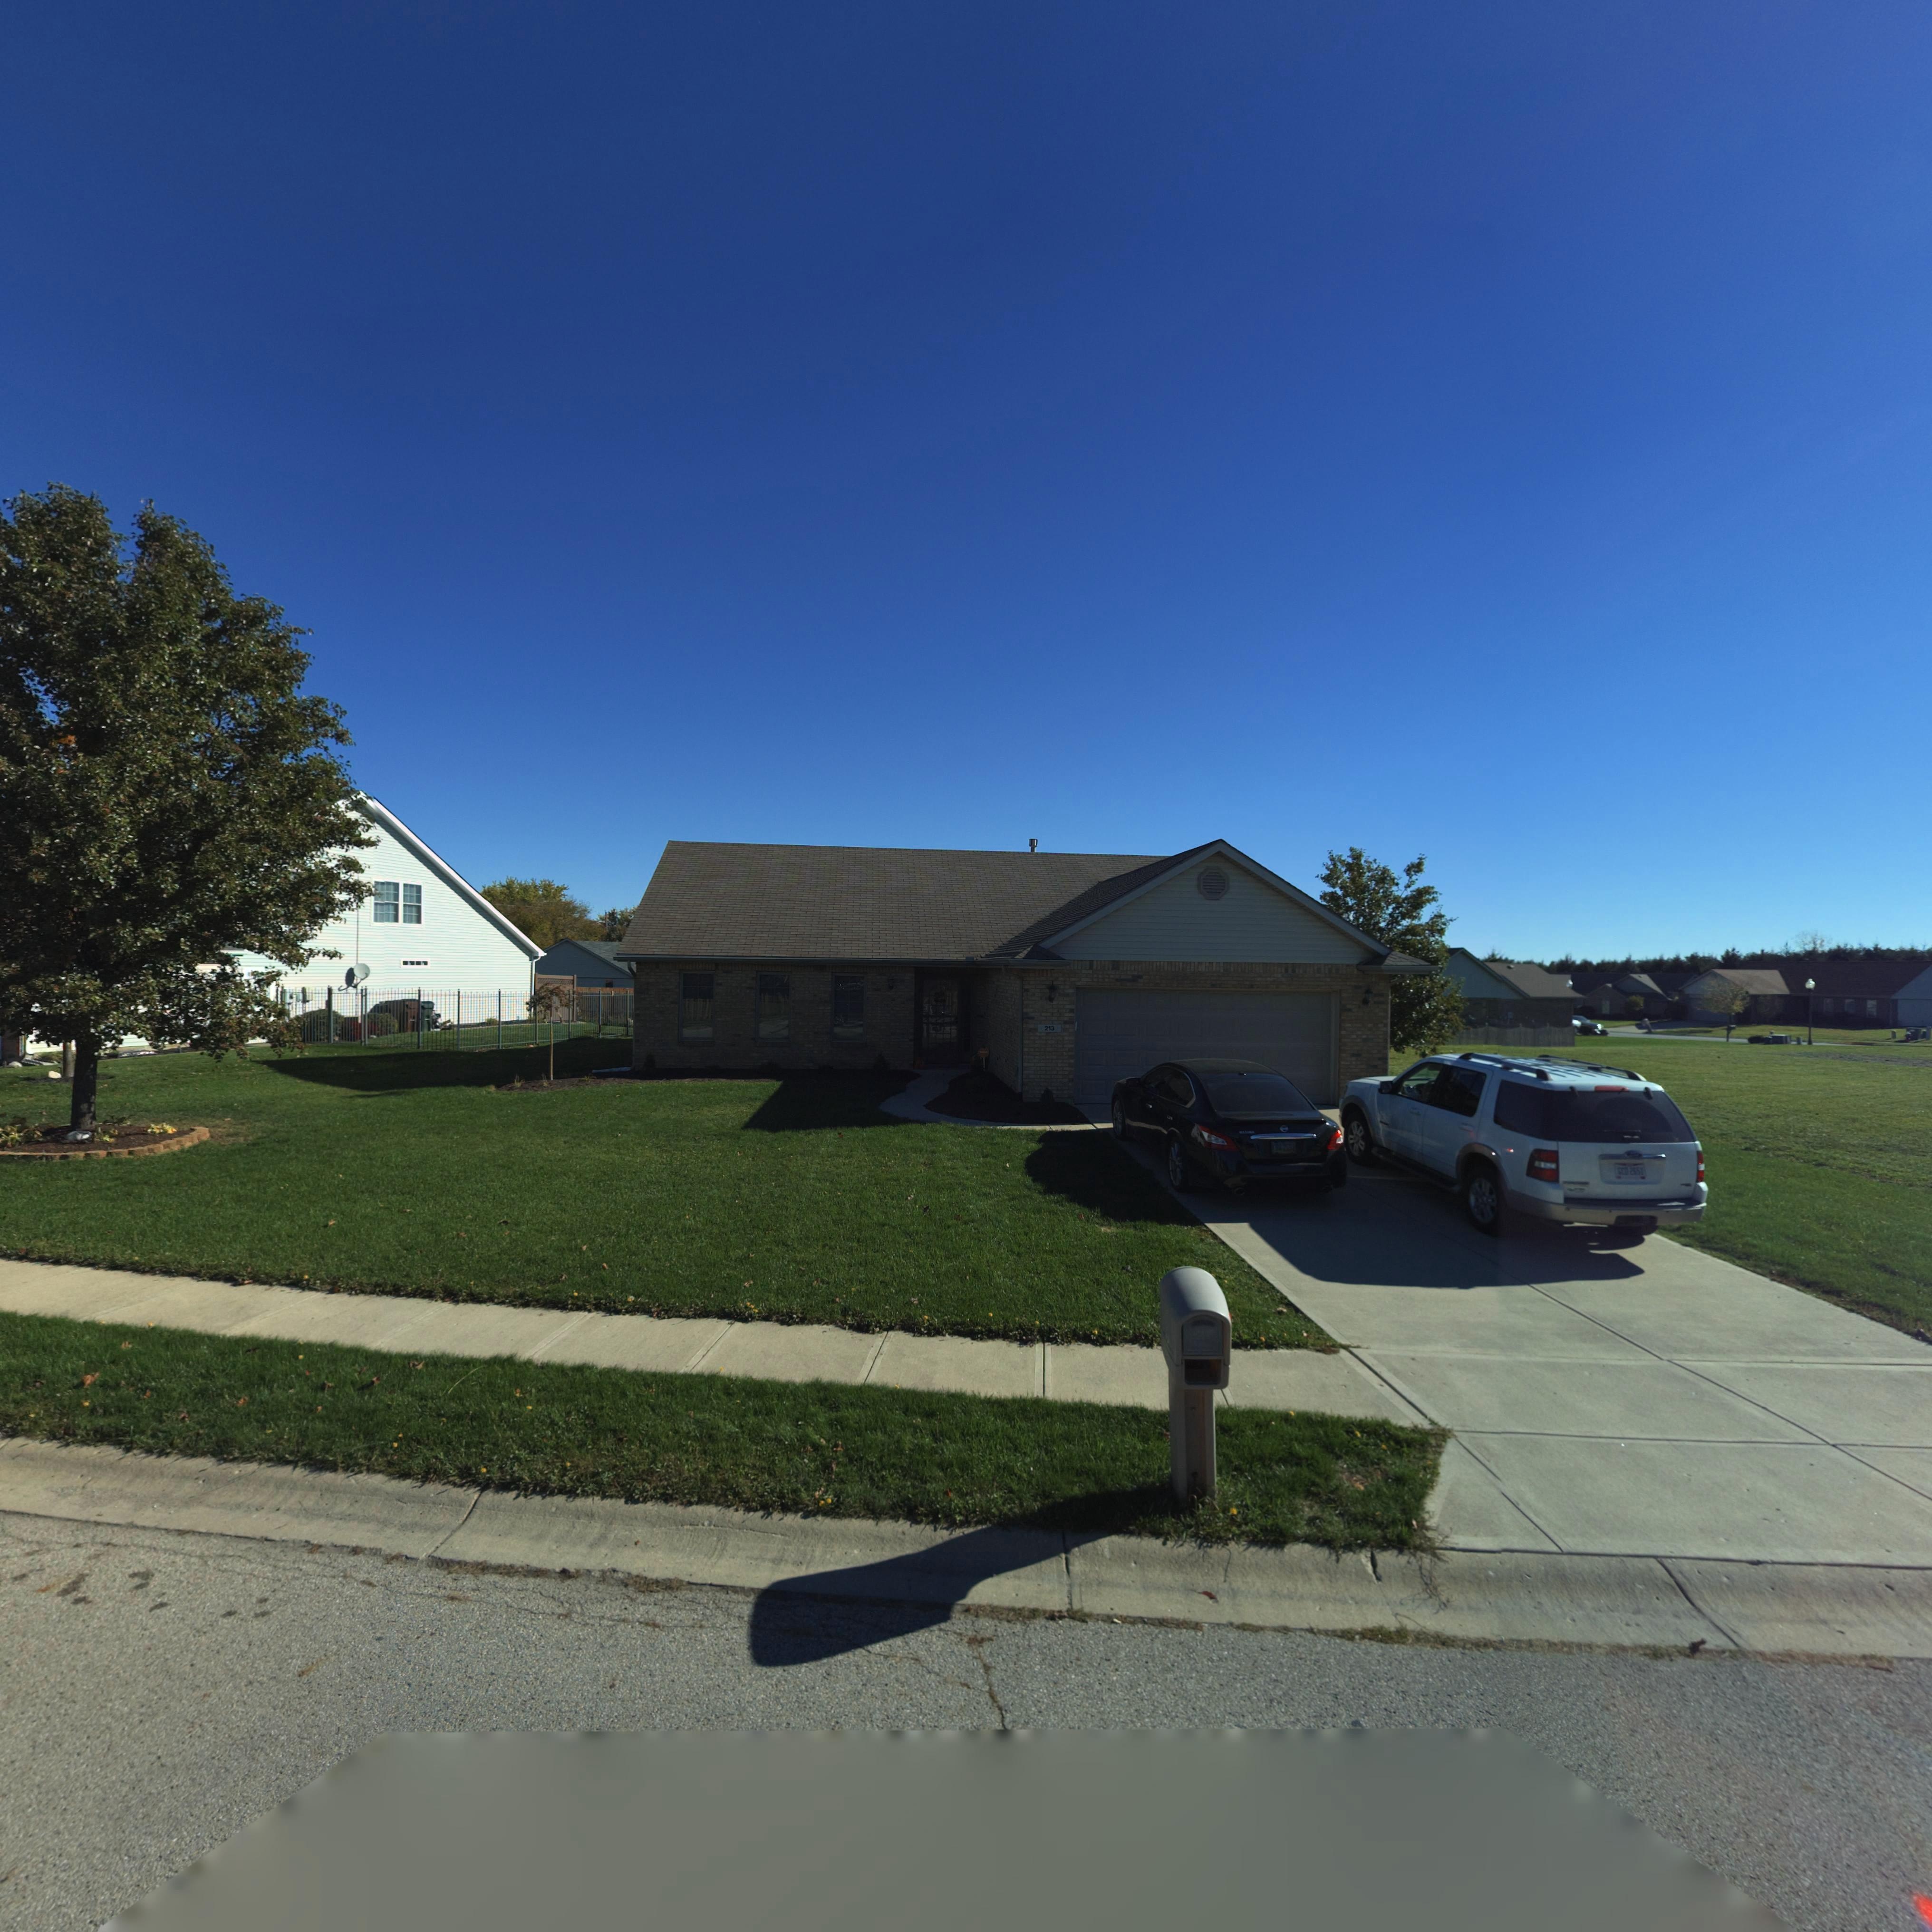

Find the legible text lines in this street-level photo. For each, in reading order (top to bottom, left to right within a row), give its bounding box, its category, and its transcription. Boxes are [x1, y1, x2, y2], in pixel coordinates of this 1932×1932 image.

[1044, 1025, 1054, 1031] StreetNumber: 213